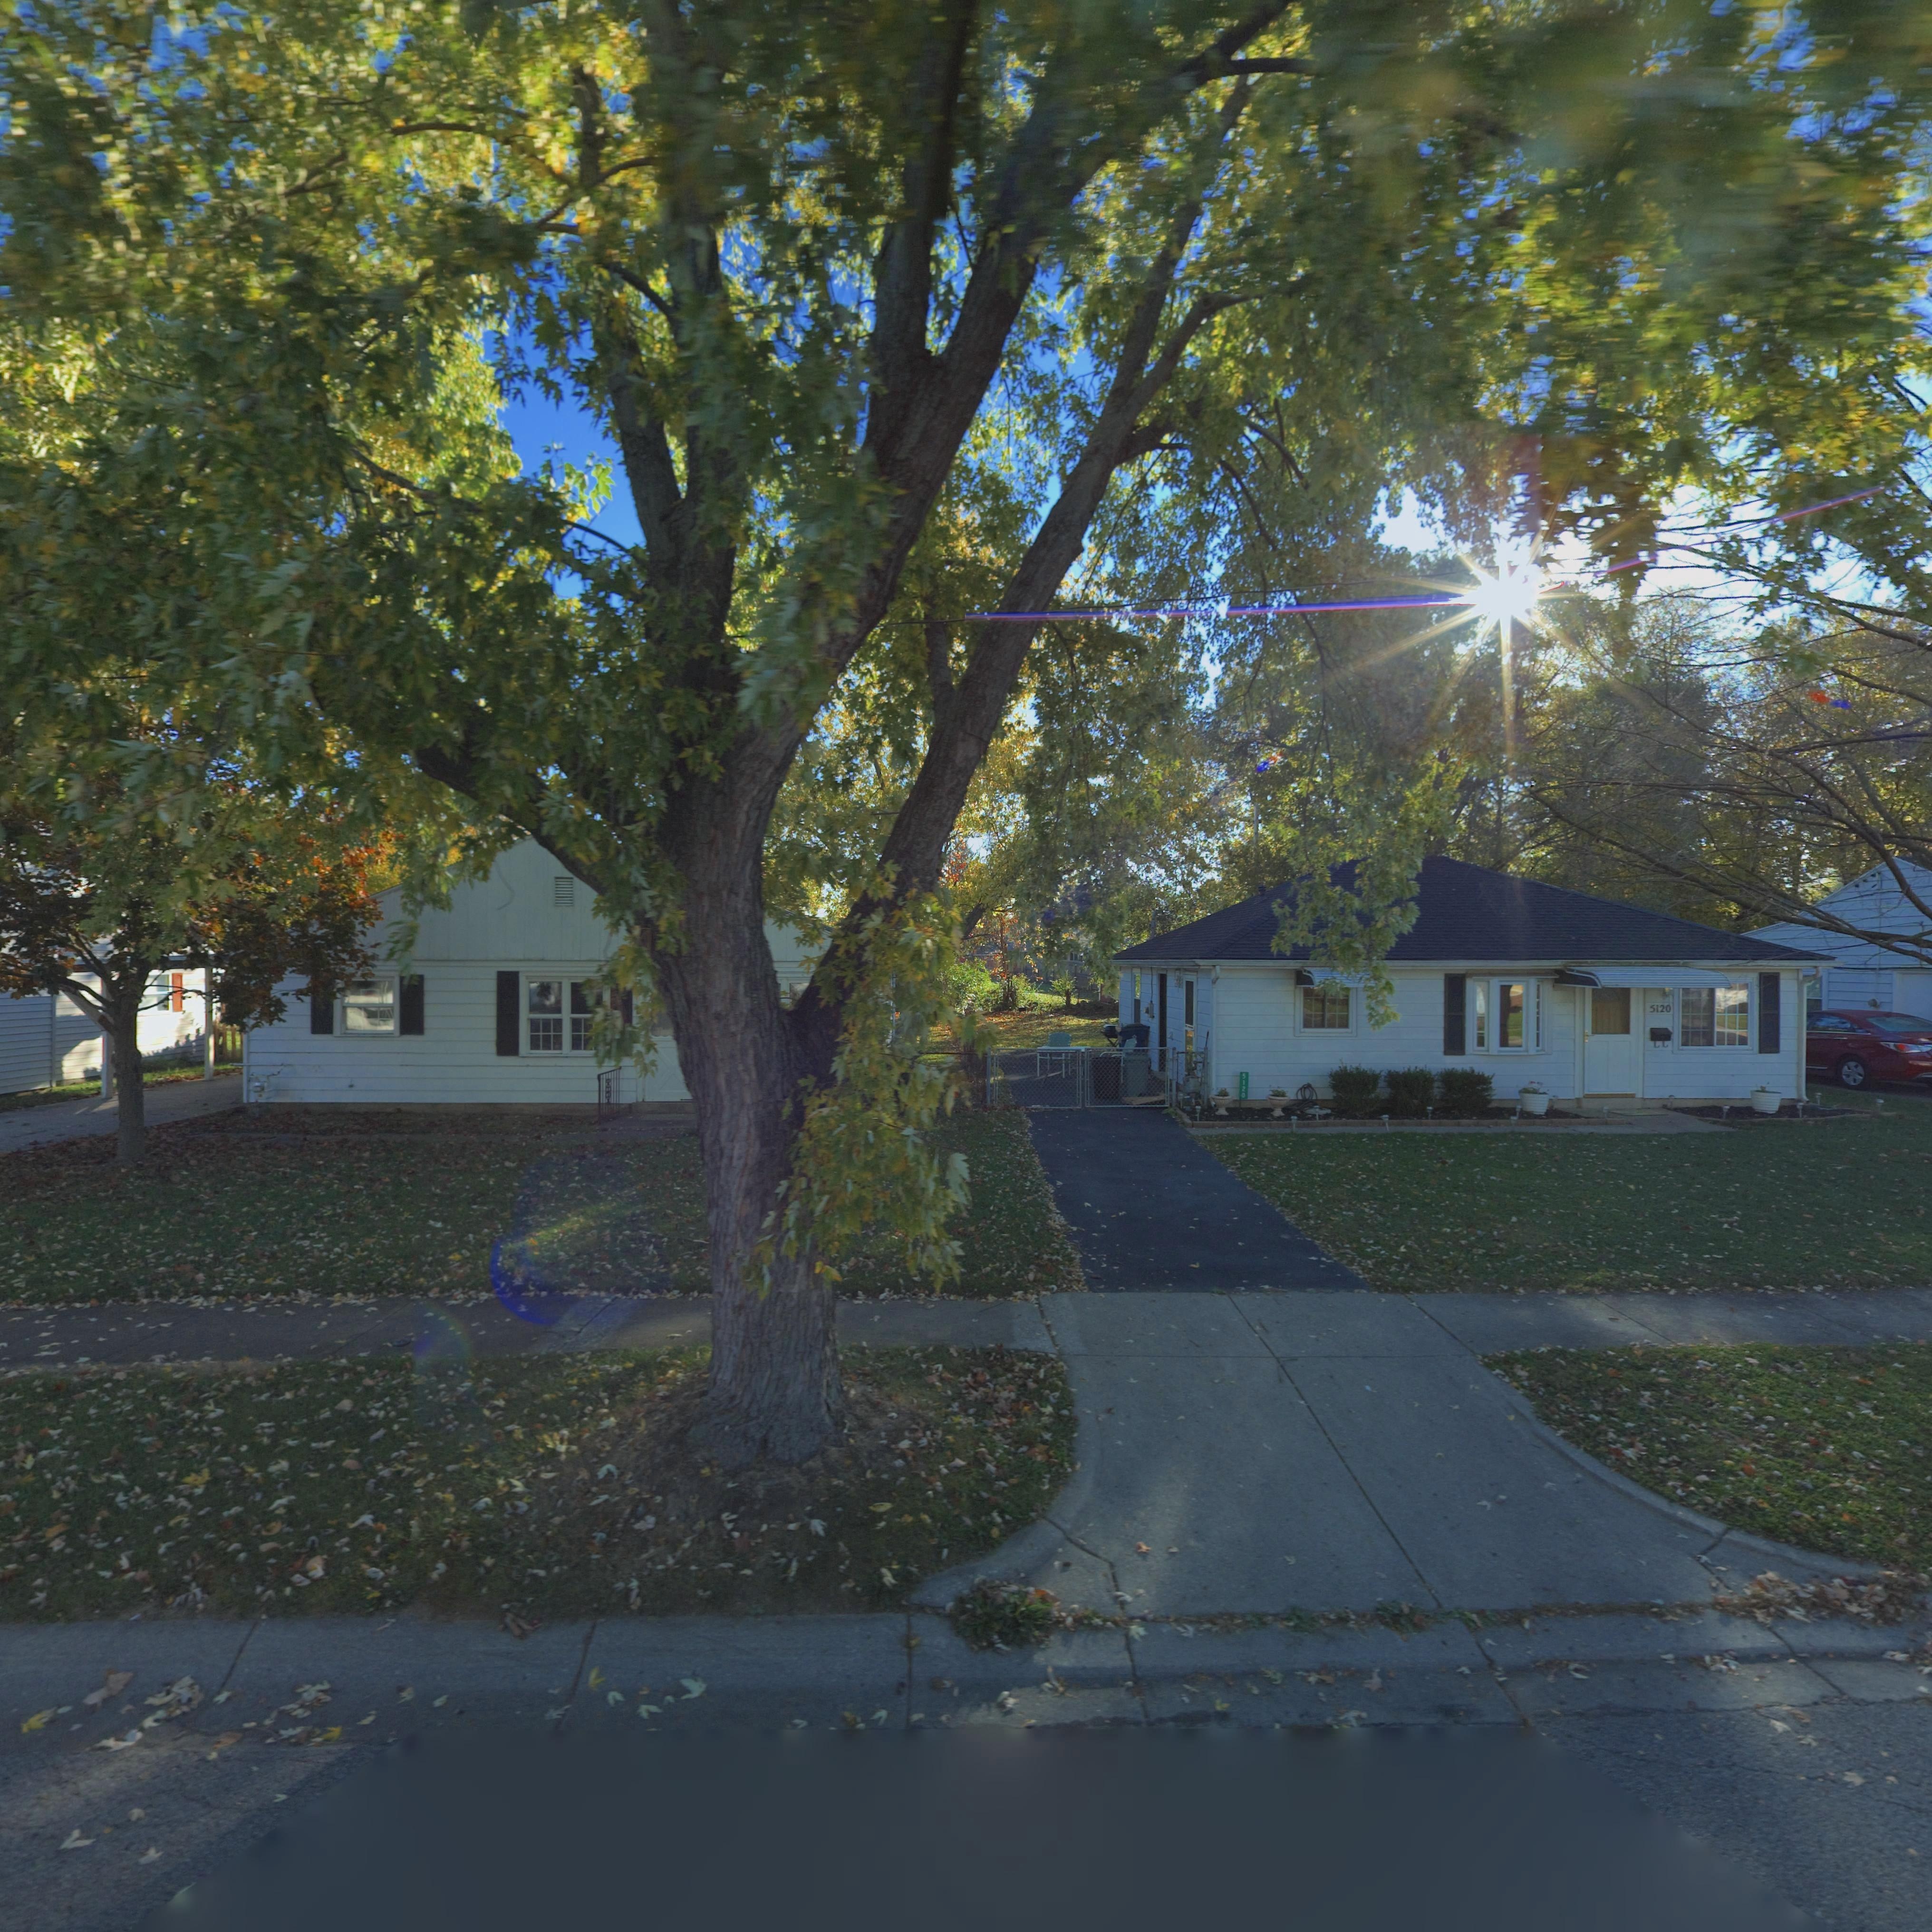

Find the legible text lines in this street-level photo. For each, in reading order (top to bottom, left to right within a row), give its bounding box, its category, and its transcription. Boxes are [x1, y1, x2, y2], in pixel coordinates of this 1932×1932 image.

[1650, 1004, 1671, 1013] StreetNumber: 5120
[1241, 1073, 1246, 1098] StreetNumber: 5120